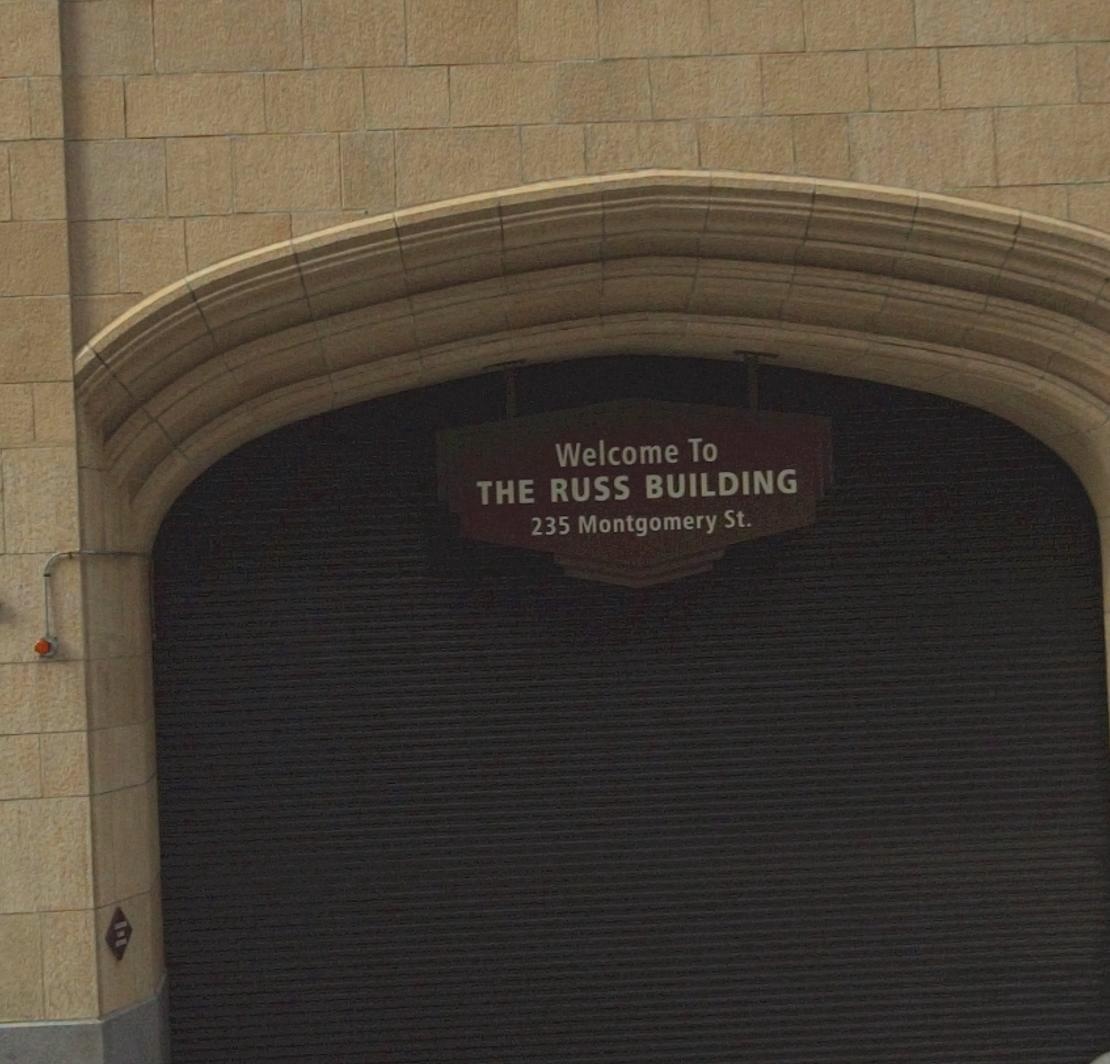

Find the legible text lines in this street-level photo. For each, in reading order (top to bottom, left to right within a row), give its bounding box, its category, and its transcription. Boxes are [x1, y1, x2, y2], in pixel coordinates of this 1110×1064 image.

[553, 437, 718, 469] None: Welcome To
[474, 468, 799, 507] None: THE RUSS BUILDING
[530, 515, 571, 536] StreetNumber: 235
[577, 508, 752, 538] StreetName: Montgomery St.